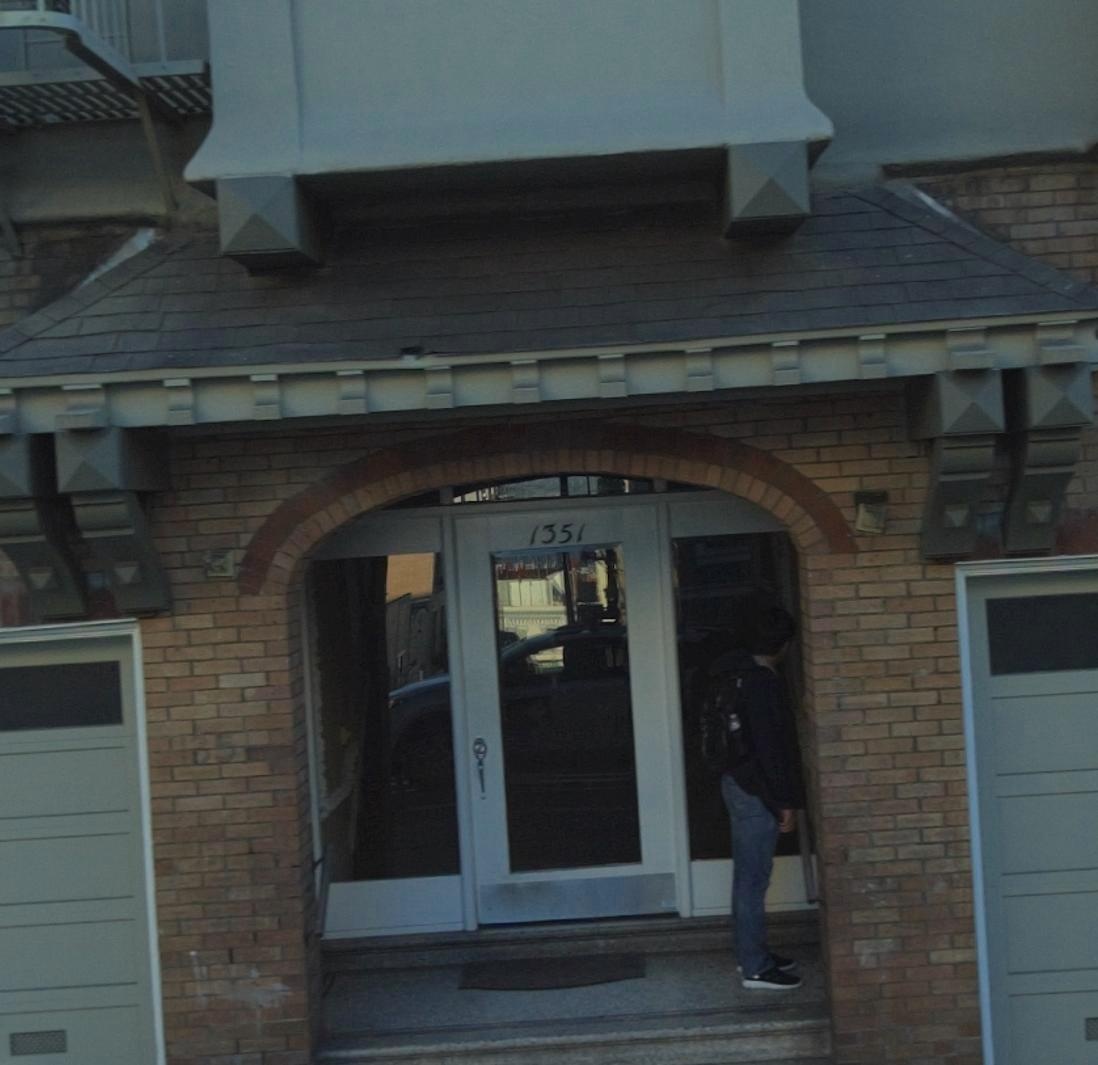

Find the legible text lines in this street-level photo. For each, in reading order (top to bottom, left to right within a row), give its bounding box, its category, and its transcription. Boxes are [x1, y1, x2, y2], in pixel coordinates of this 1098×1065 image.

[523, 521, 589, 548] StreetNumber: 1351